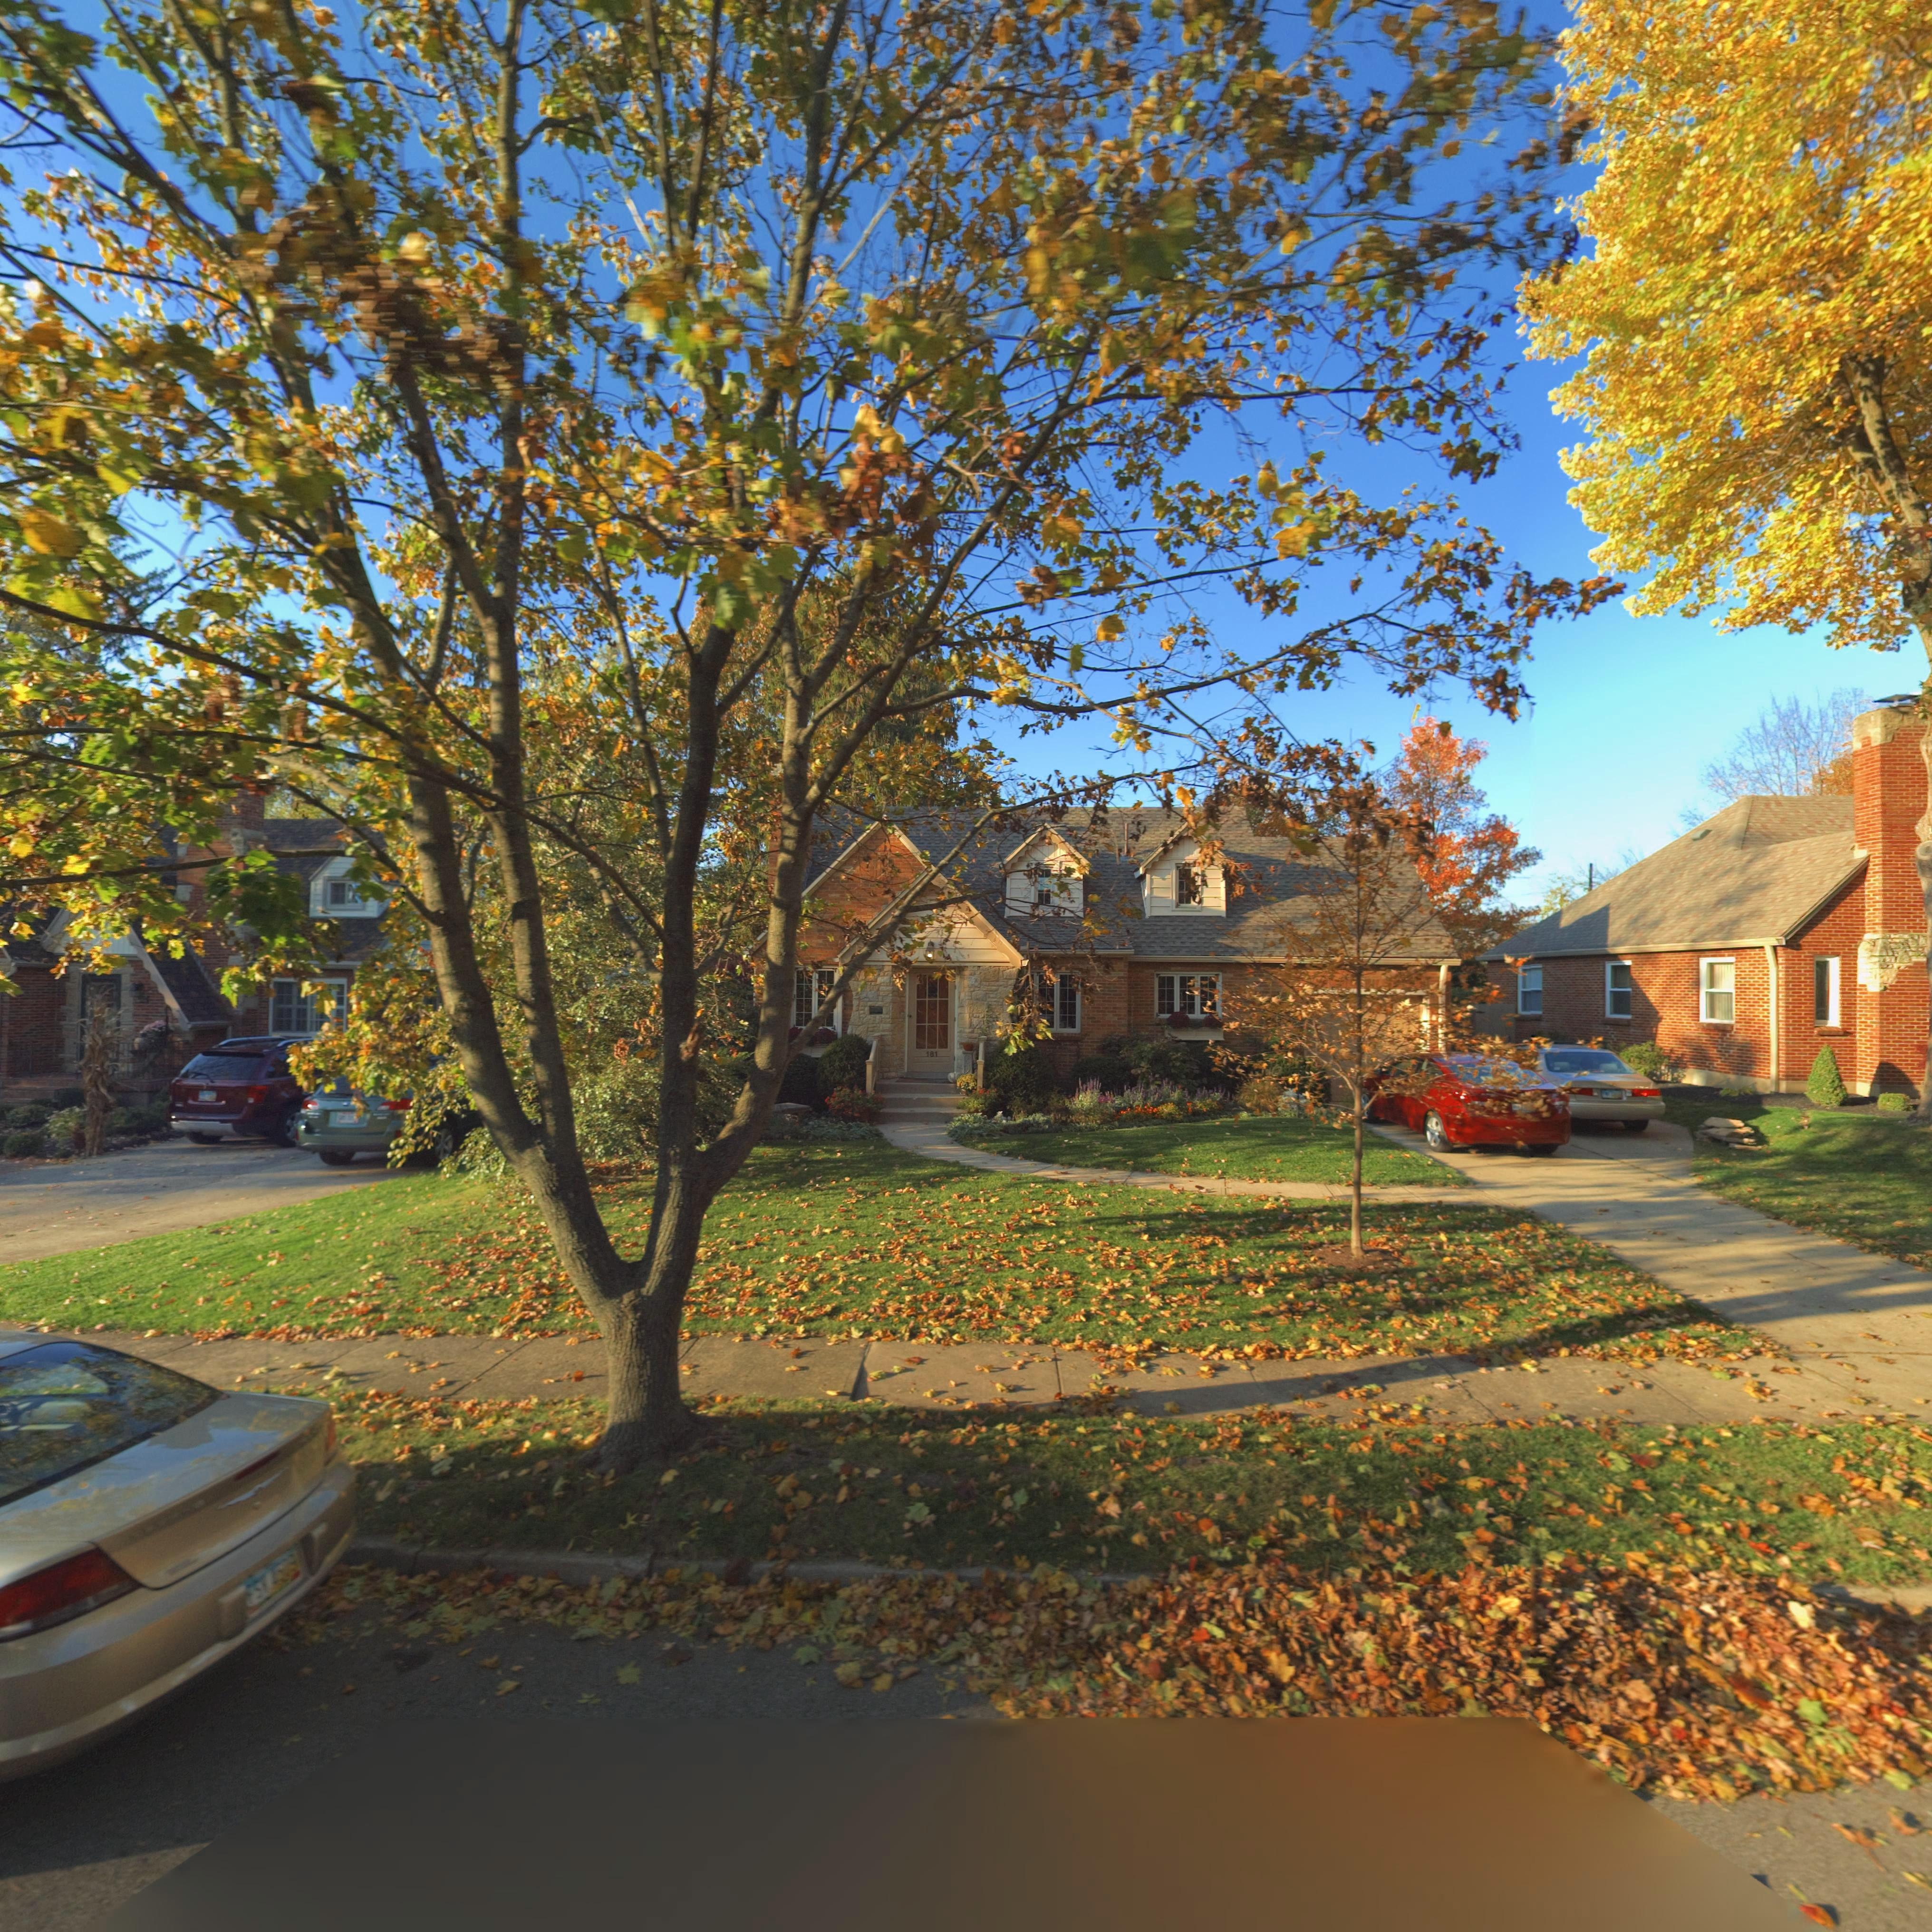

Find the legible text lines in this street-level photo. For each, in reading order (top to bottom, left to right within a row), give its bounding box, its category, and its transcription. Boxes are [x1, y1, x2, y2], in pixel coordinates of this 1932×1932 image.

[926, 1051, 938, 1057] StreetNumber: 181